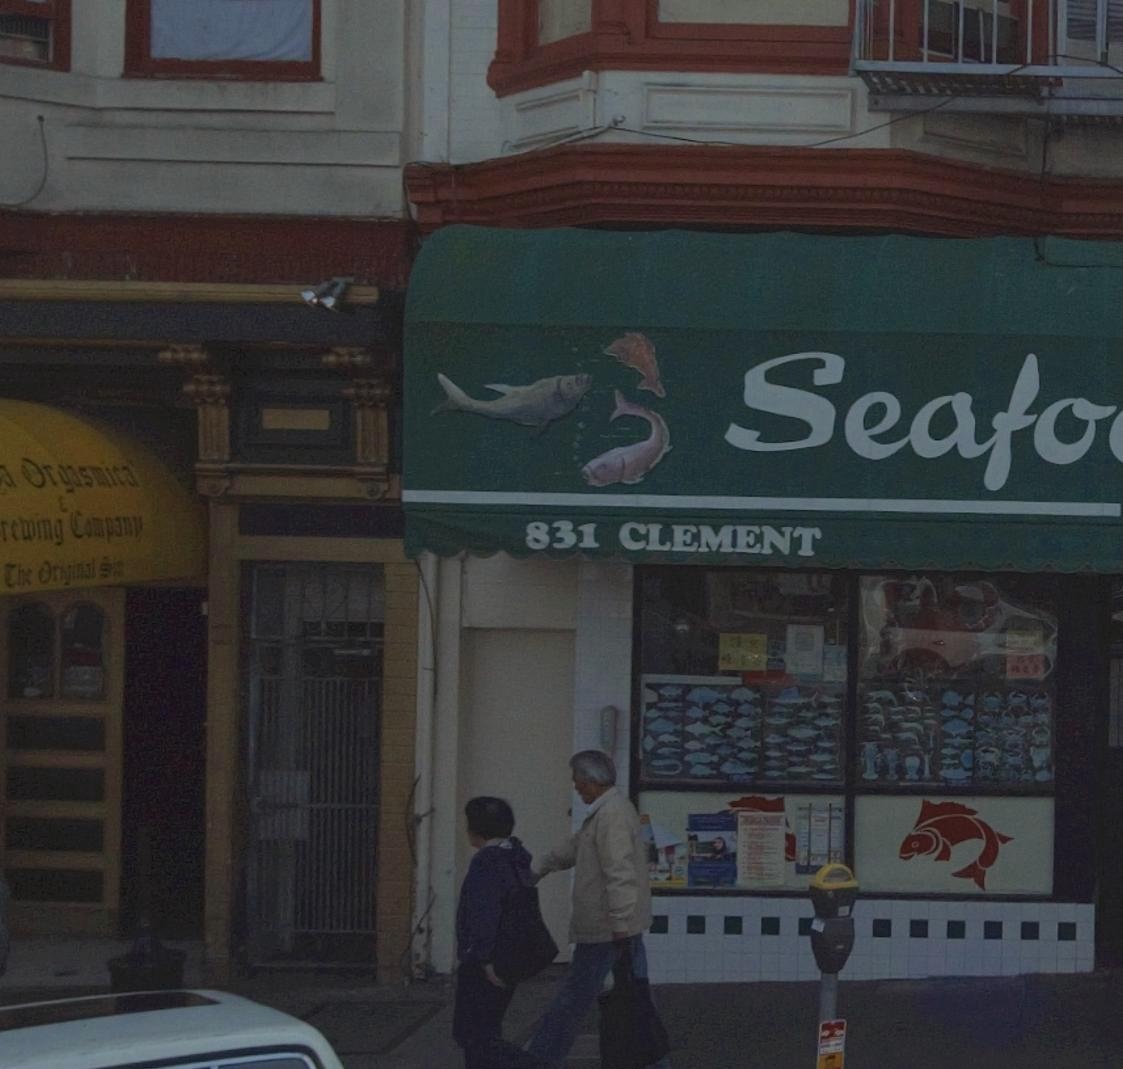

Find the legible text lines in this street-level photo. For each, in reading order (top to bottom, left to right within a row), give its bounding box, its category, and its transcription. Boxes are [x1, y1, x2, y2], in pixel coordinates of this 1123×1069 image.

[723, 350, 1120, 493] BusinessName: Seafo
[17, 455, 141, 494] BusinessName: Orgasmica
[0, 509, 146, 547] BusinessName: rewing Company
[524, 519, 601, 551] StreetNumber: 831
[617, 521, 824, 557] StreetName: CLEMENT
[2, 555, 126, 589] None: The Original Sin